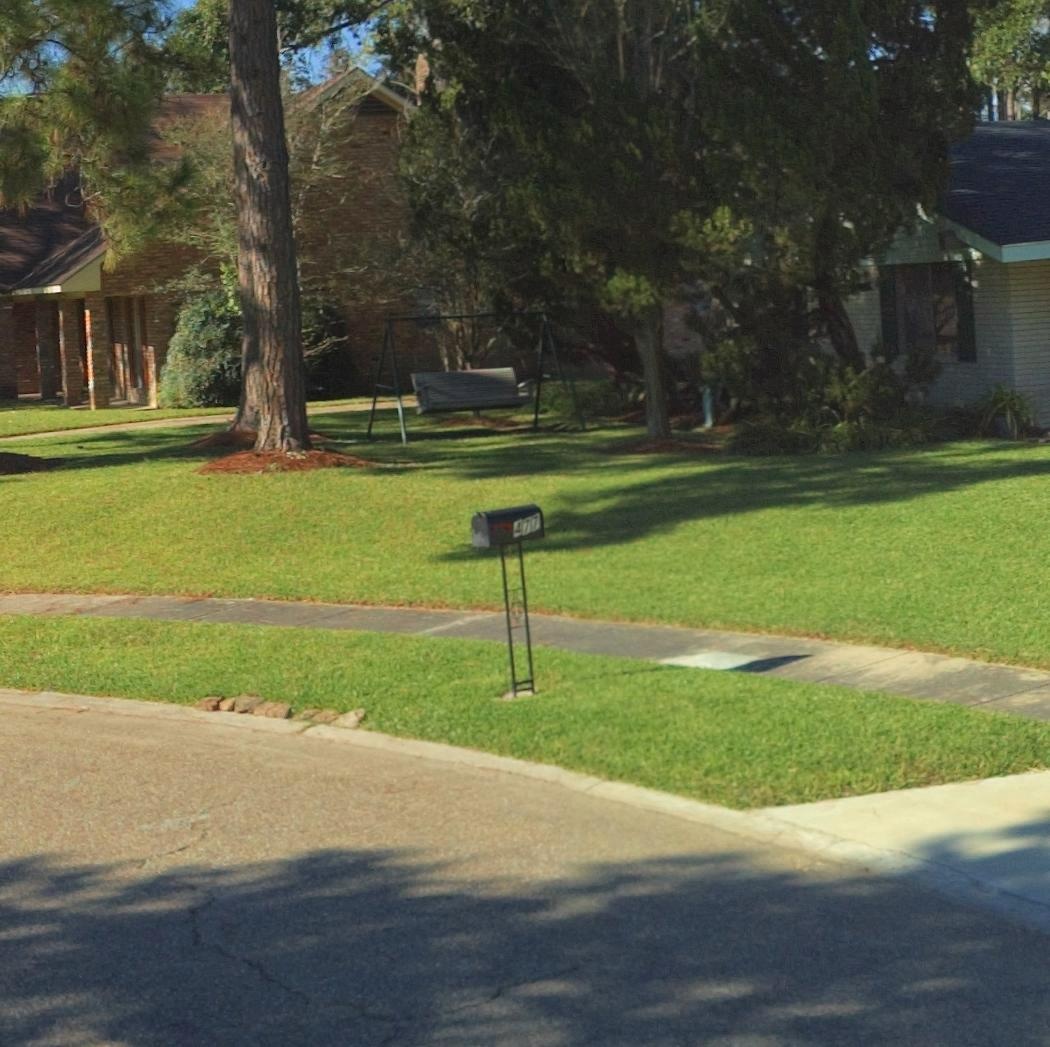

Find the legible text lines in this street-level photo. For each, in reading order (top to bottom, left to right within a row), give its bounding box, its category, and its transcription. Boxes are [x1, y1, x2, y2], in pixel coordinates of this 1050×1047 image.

[512, 512, 540, 539] StreetNumber: 477